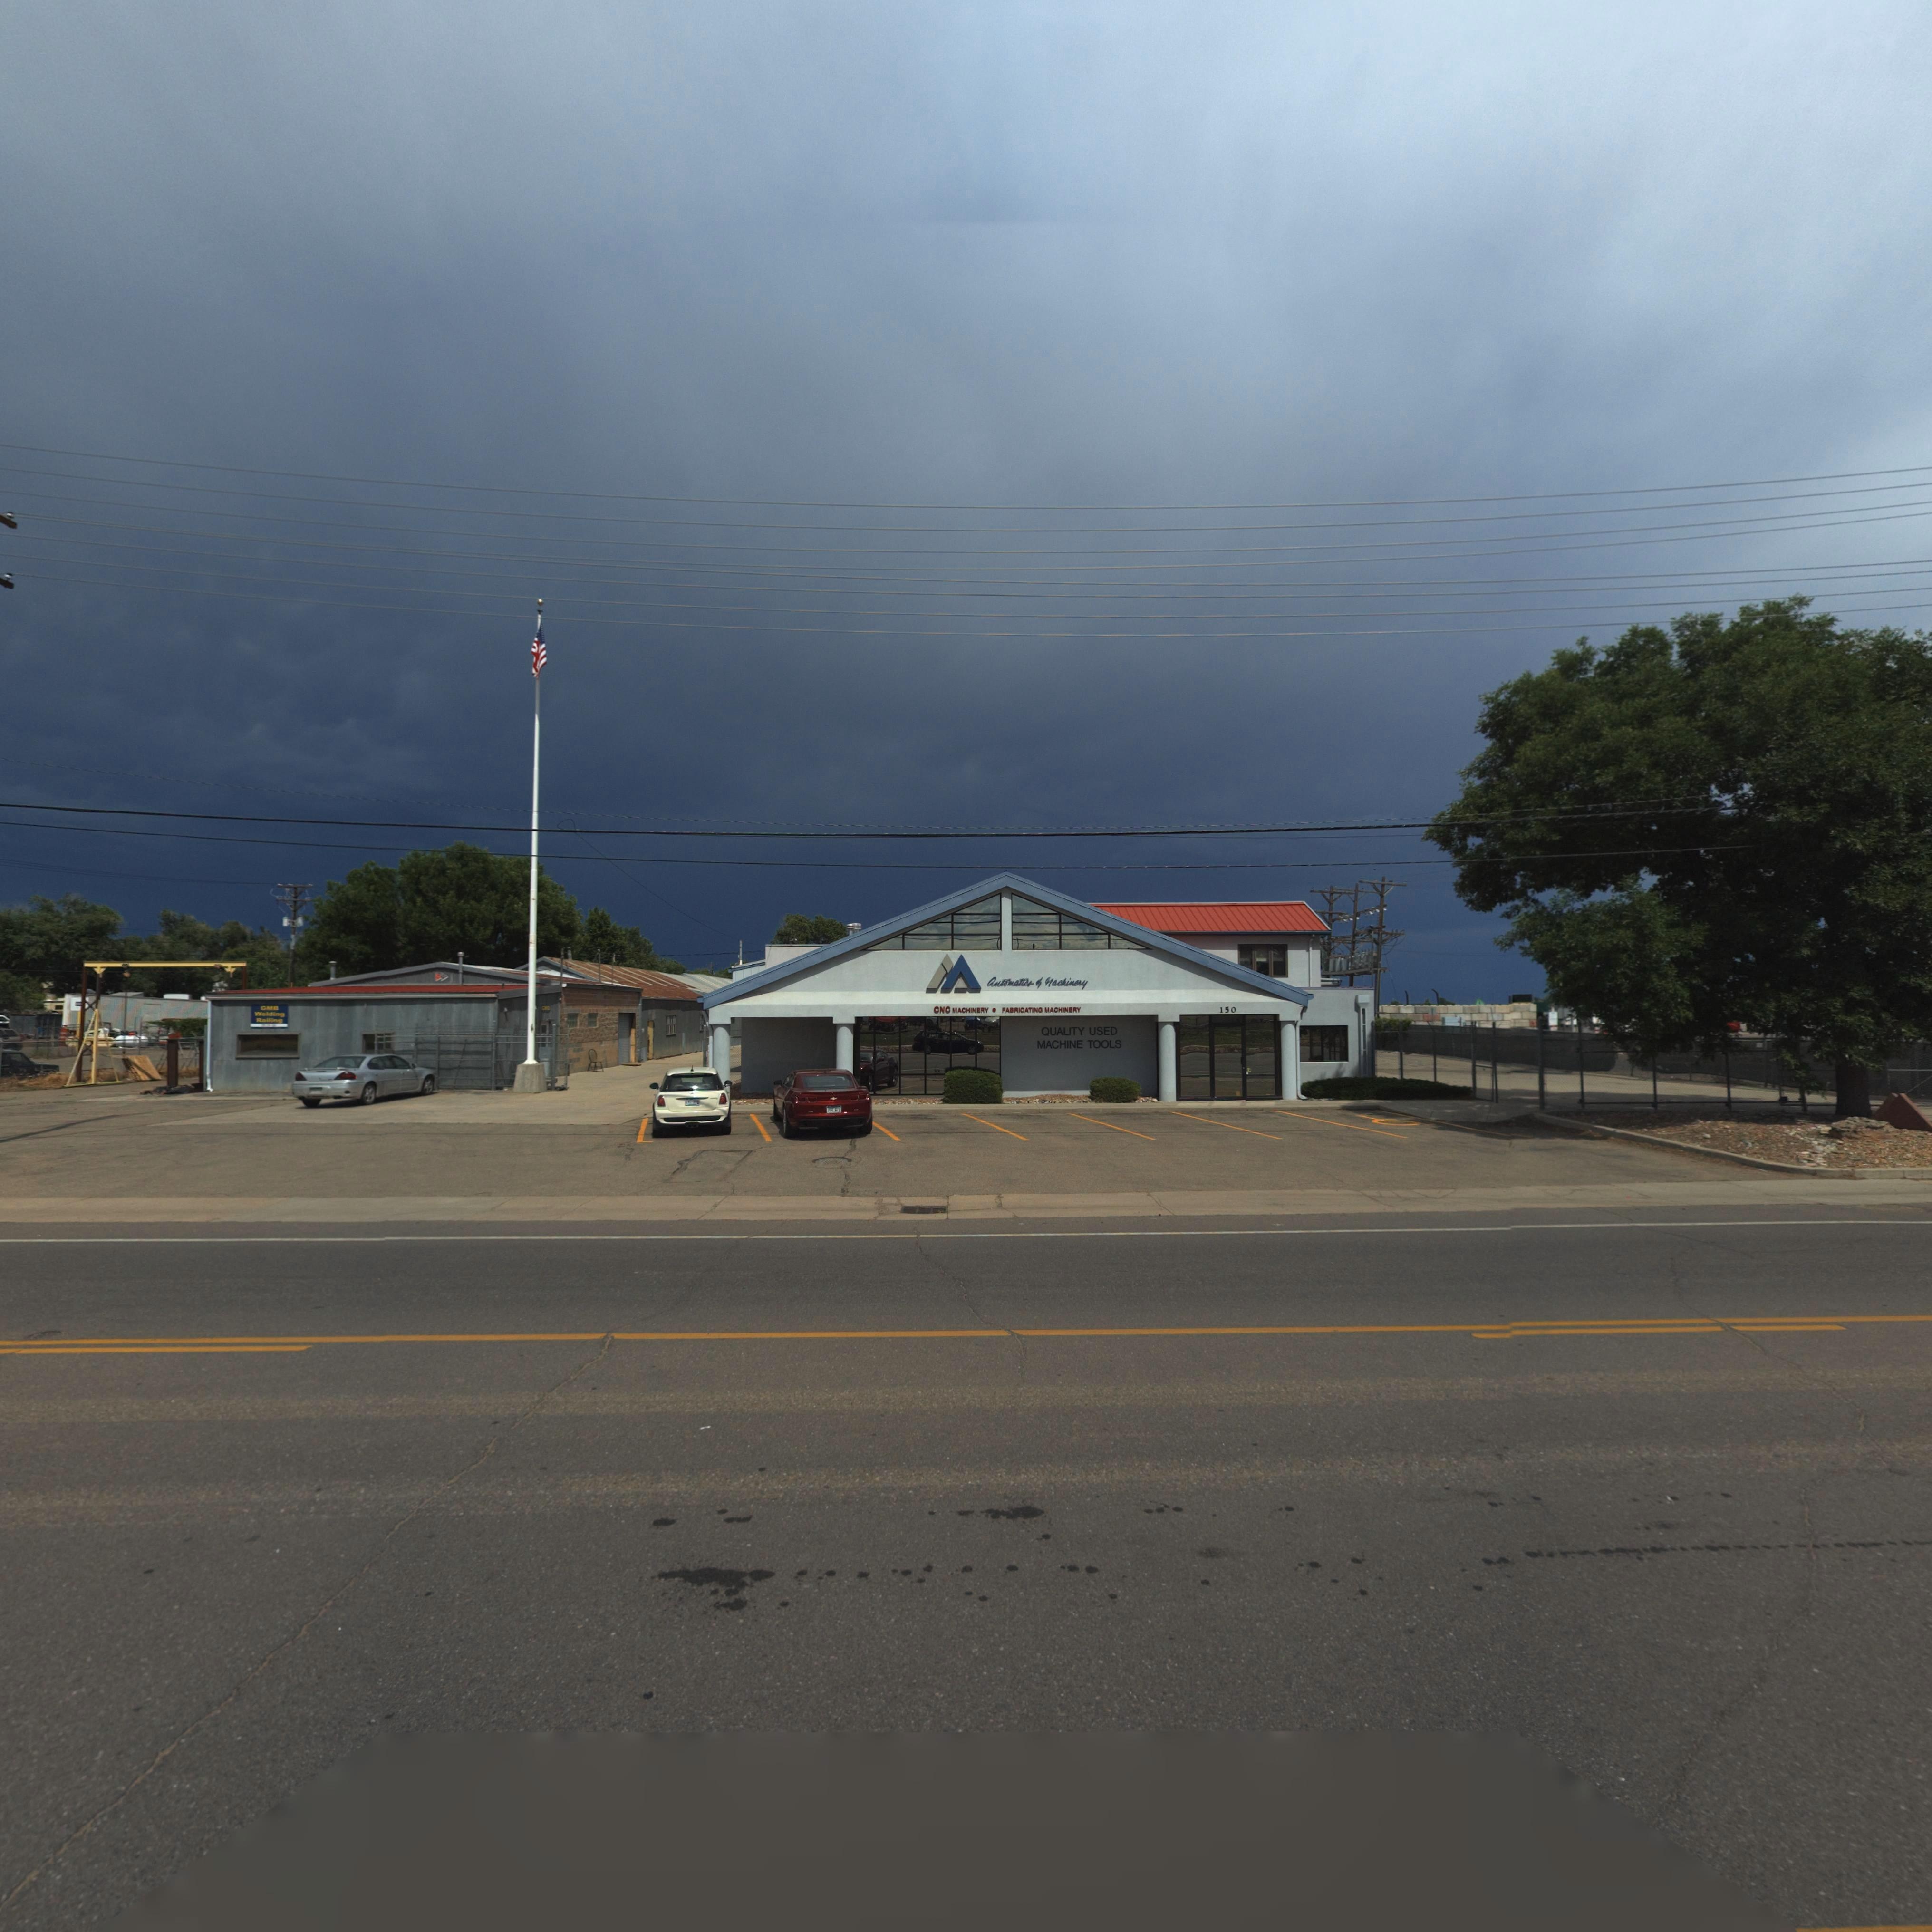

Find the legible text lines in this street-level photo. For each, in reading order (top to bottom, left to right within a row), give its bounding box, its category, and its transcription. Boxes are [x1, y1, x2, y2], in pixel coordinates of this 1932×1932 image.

[985, 974, 1092, 991] BusinessName: Automatics * Machinery
[259, 1005, 279, 1010] BusinessName: GMB
[1220, 1006, 1236, 1013] StreetNumber: 150
[252, 1011, 285, 1017] BusinessName: Welding
[255, 1017, 283, 1024] BusinessName: Railing